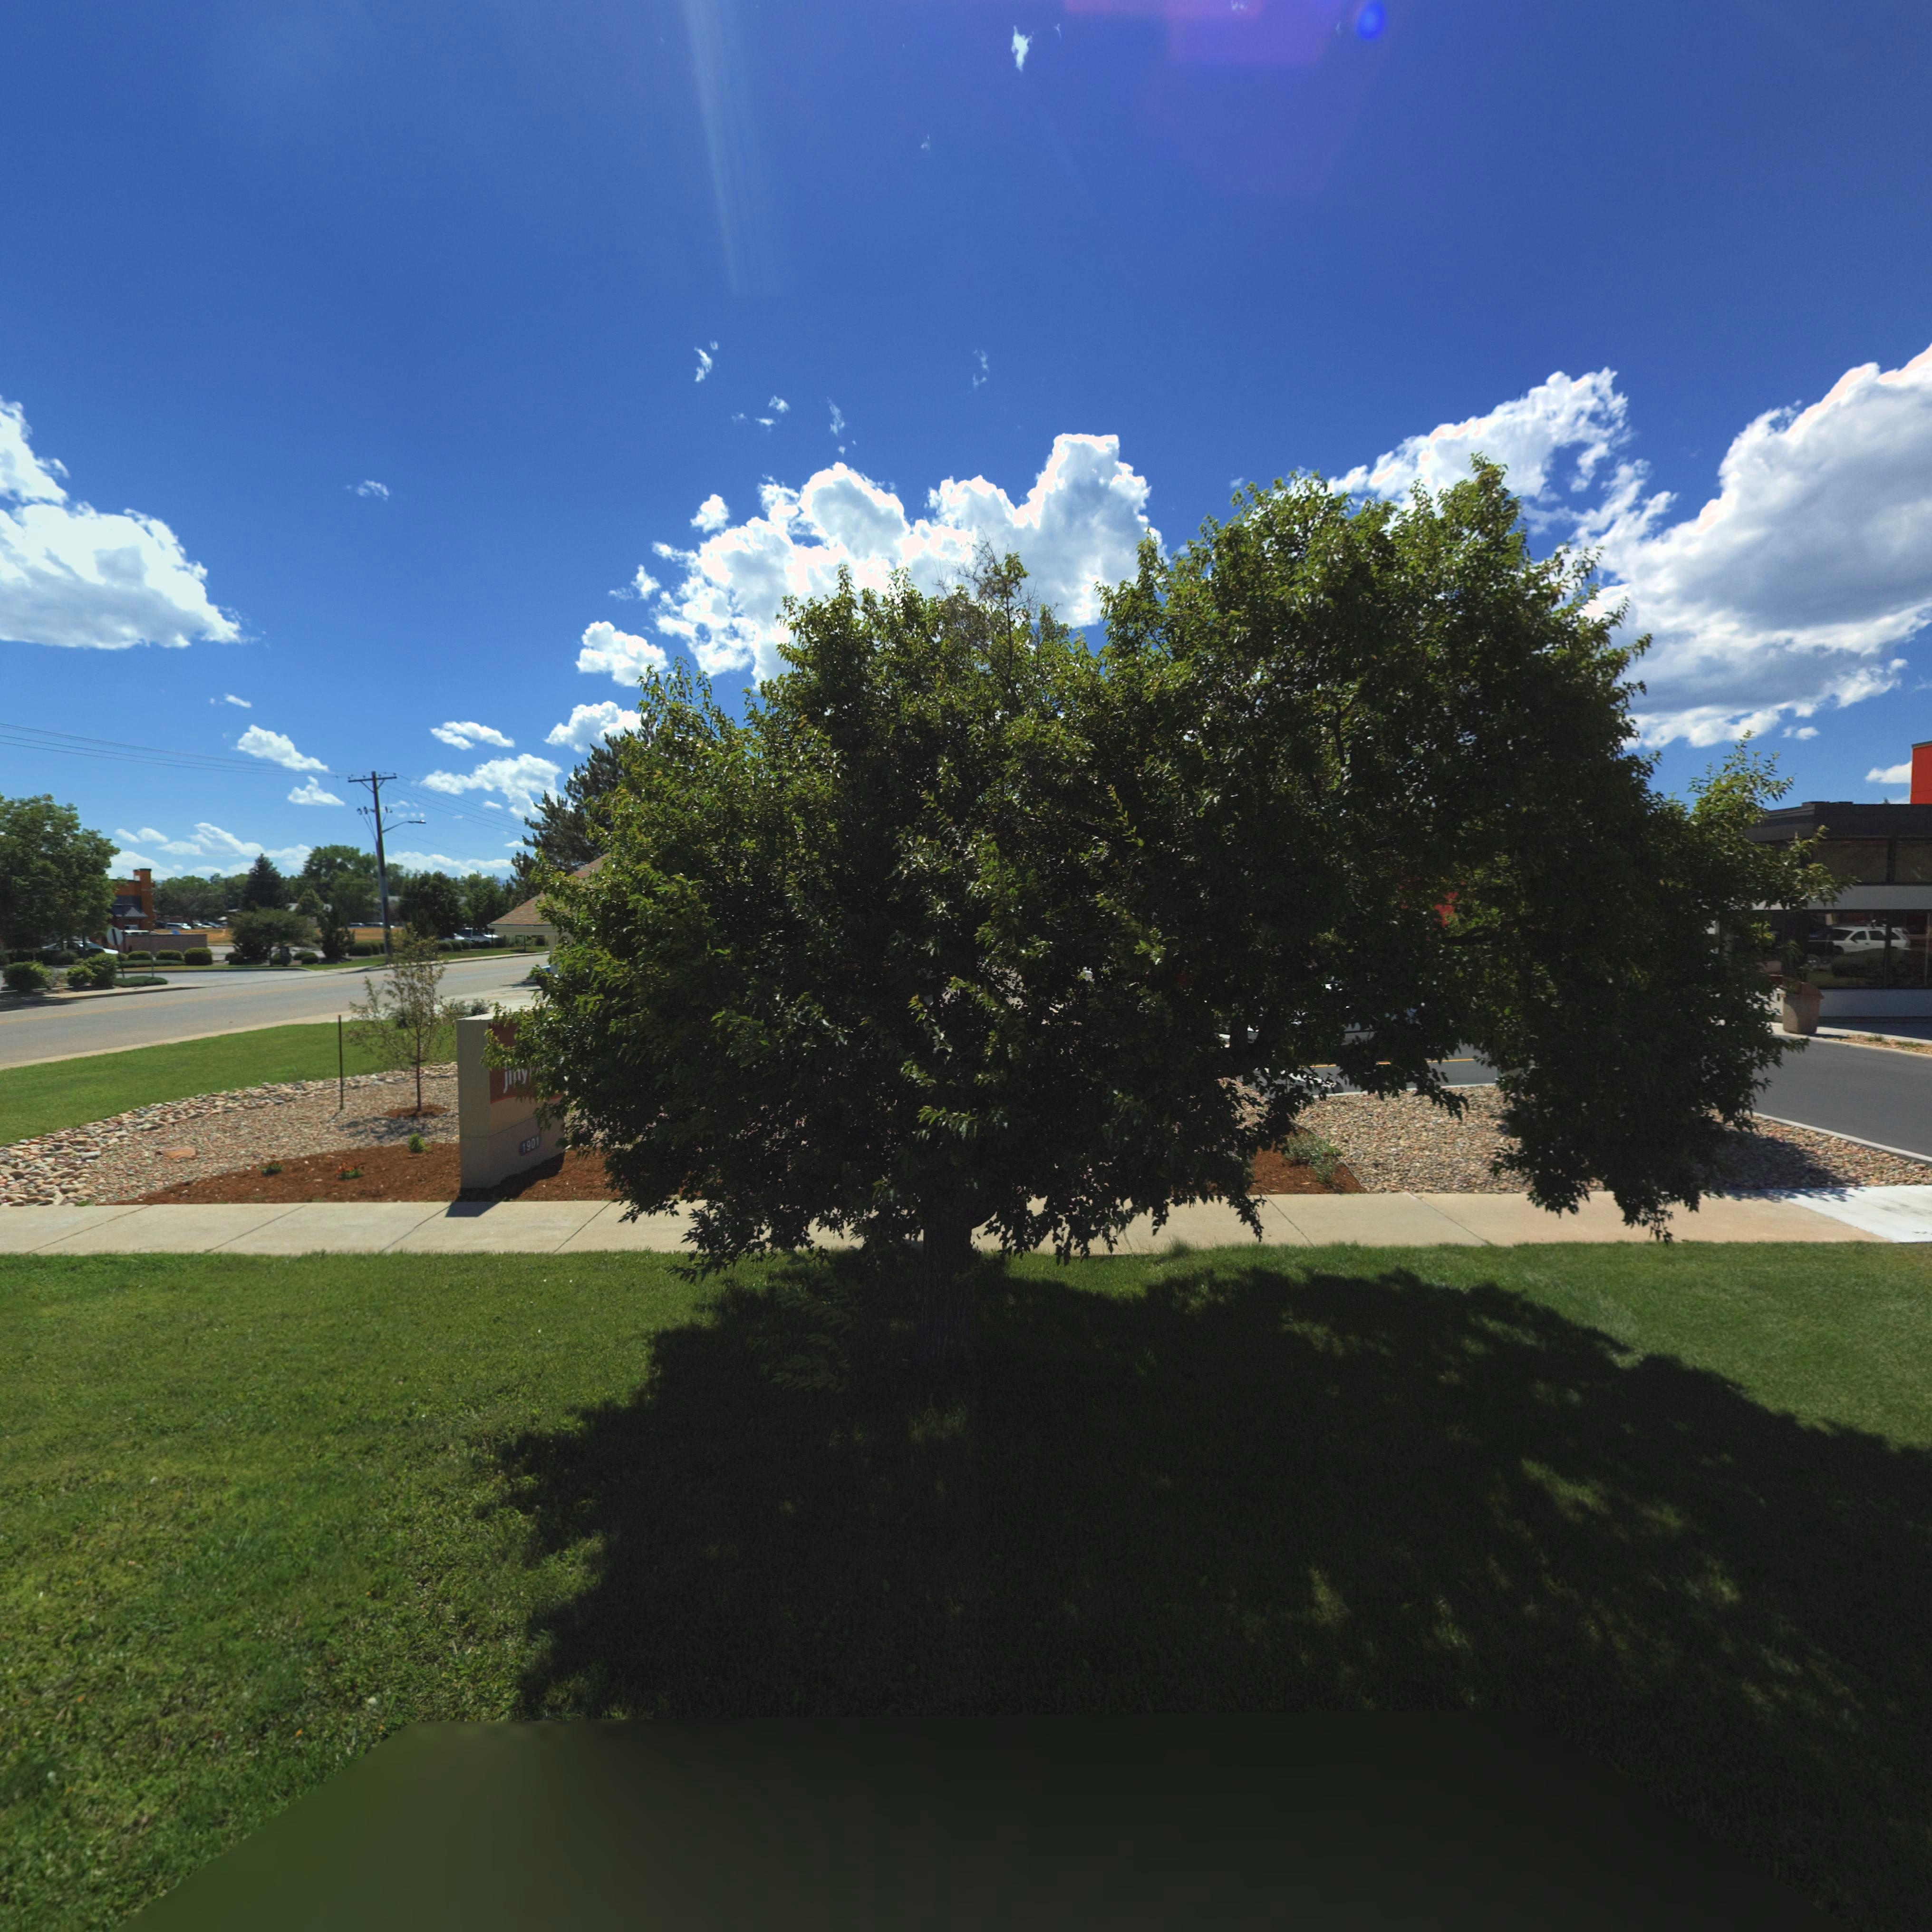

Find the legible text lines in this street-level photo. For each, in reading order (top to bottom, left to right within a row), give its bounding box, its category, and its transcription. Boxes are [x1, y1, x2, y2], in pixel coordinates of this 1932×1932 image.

[503, 1065, 528, 1094] BusinessName: ji**y
[522, 1136, 539, 1153] StreetNumber: 1901